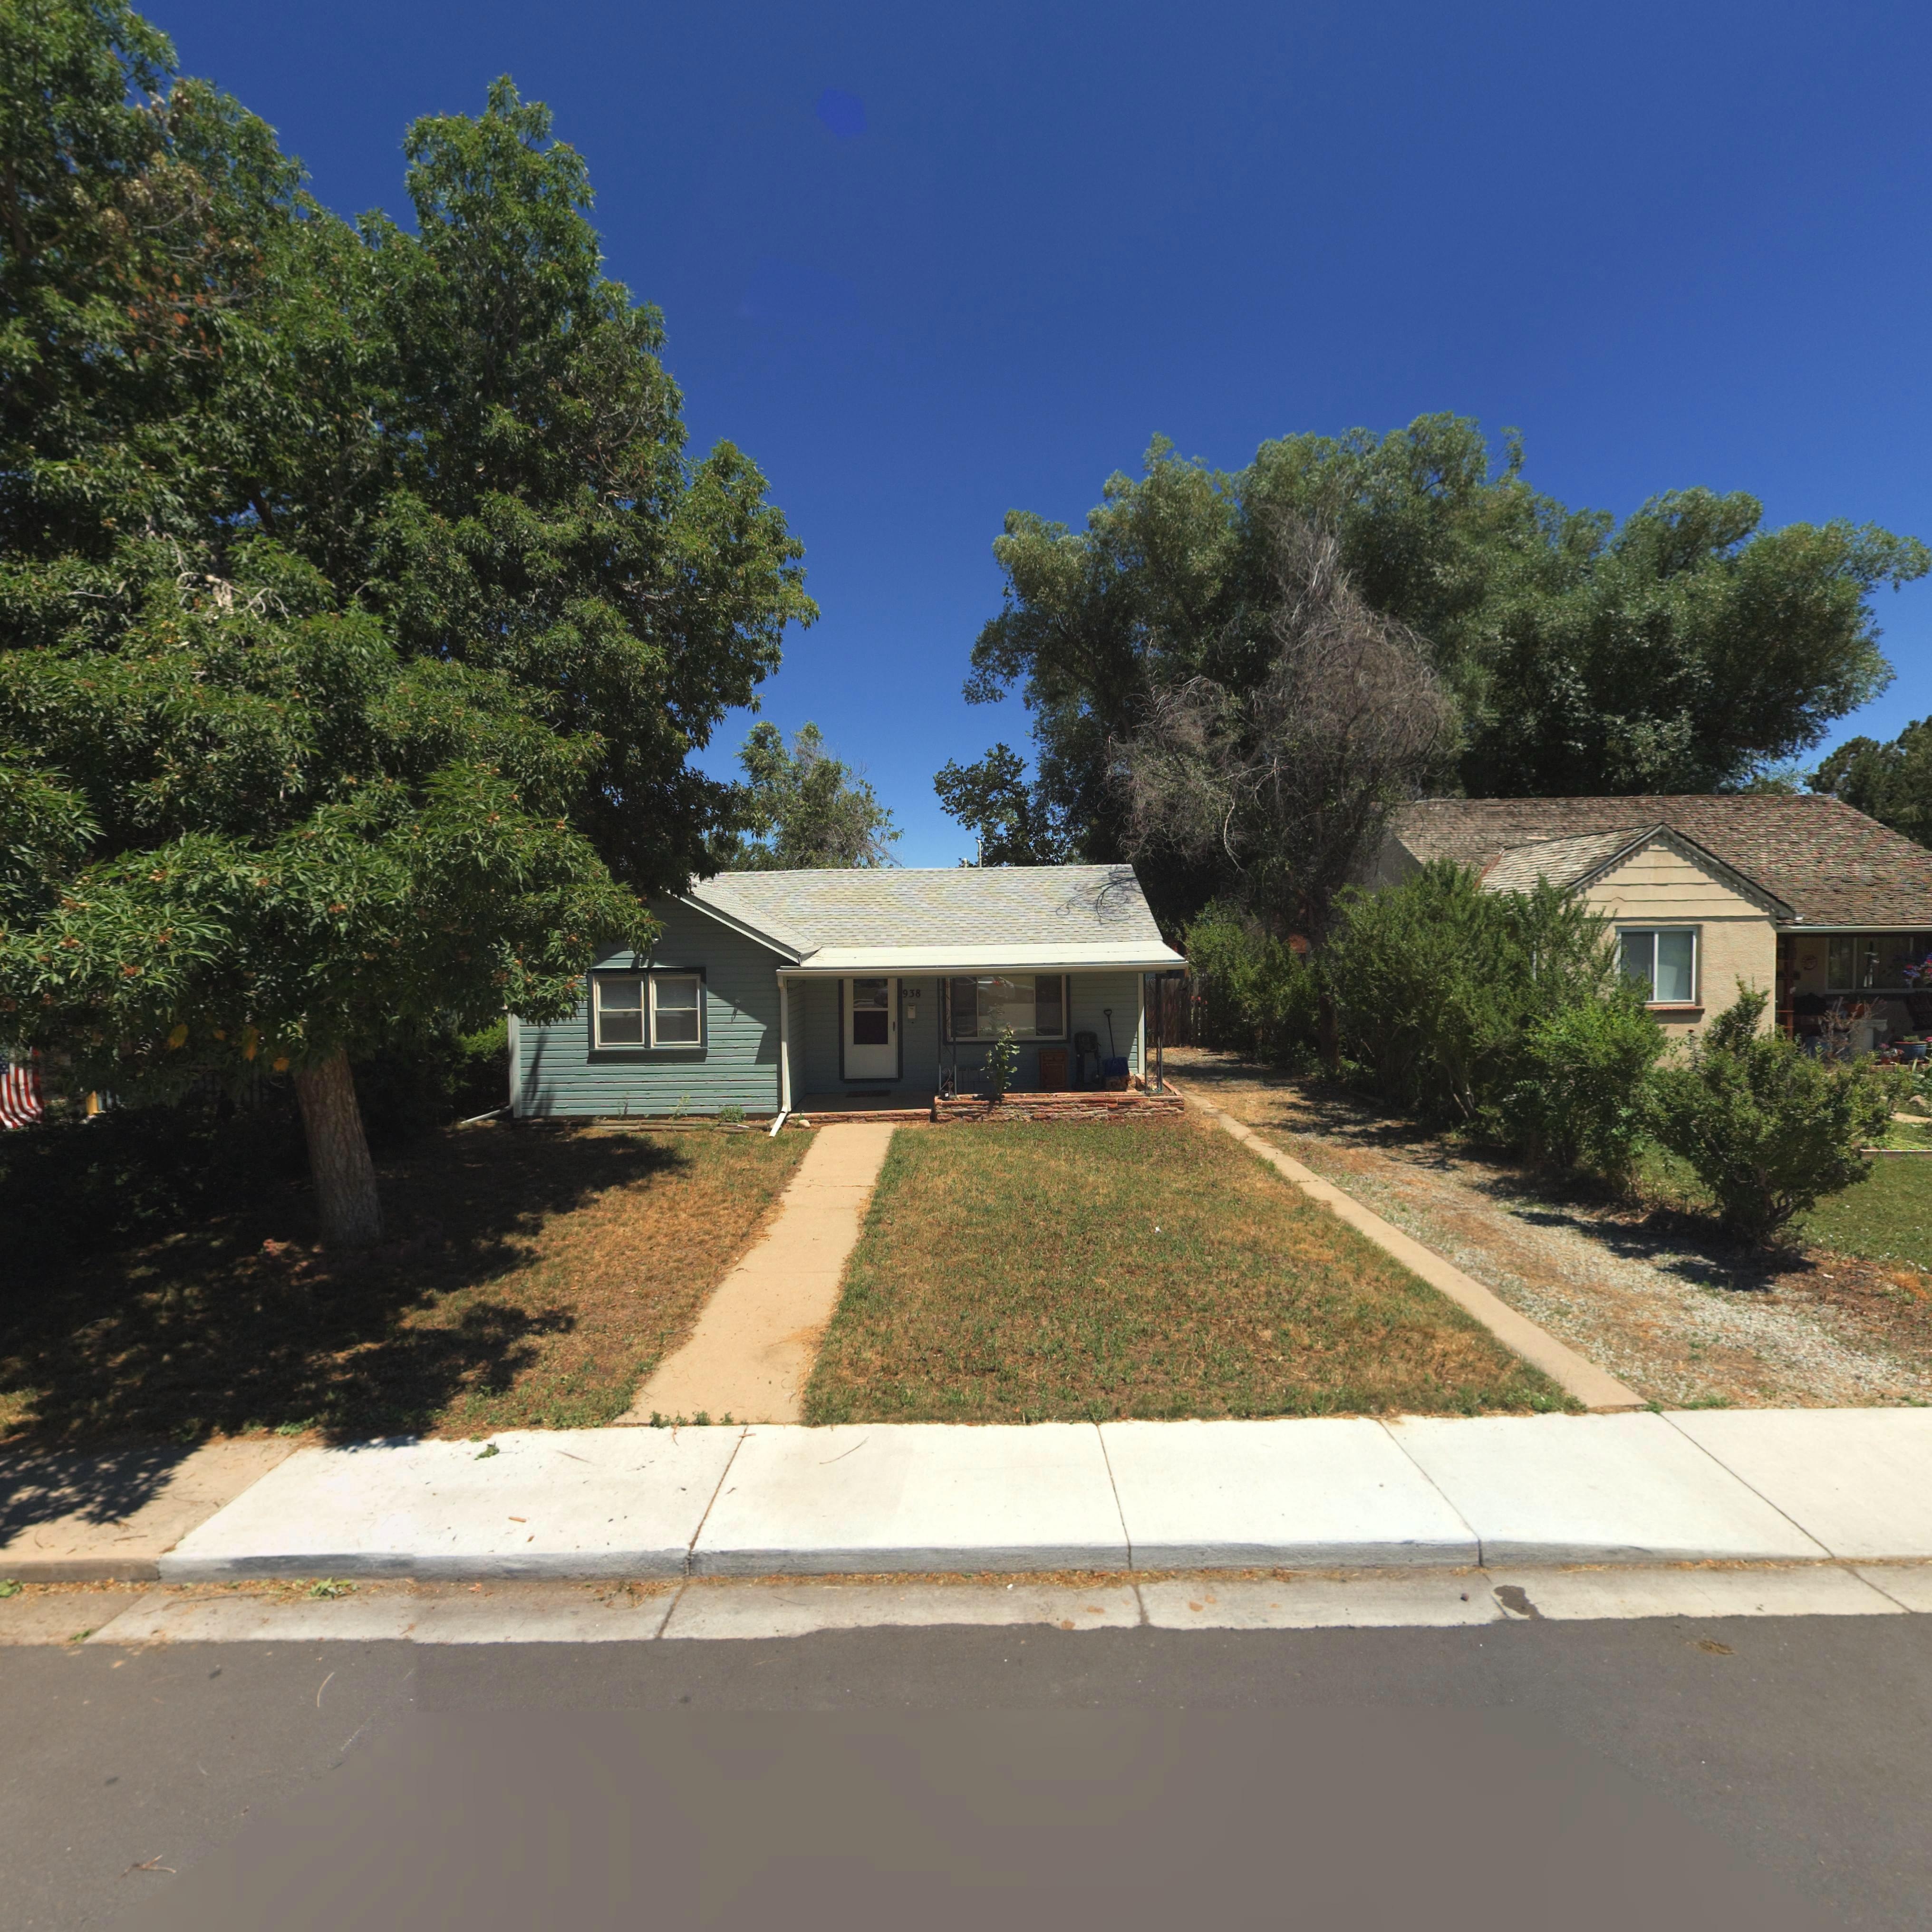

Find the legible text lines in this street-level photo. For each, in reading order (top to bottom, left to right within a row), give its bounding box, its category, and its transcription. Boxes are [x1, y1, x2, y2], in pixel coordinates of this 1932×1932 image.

[902, 988, 921, 997] StreetNumber: 938